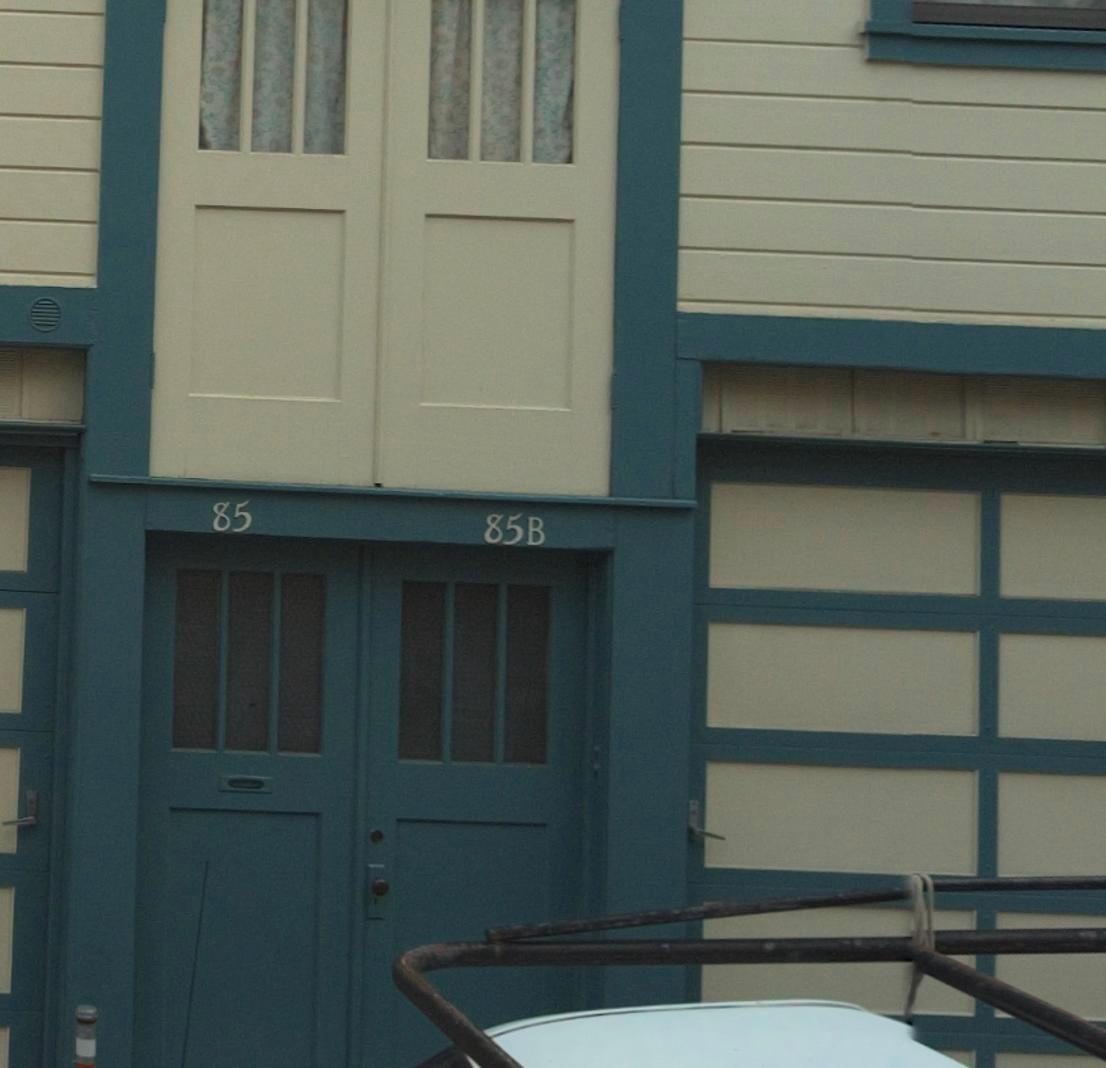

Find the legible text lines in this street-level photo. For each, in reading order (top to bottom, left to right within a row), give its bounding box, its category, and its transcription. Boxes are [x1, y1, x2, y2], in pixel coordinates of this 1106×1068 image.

[208, 497, 257, 536] StreetNumber: 85
[480, 510, 548, 549] StreetNumber: 85B